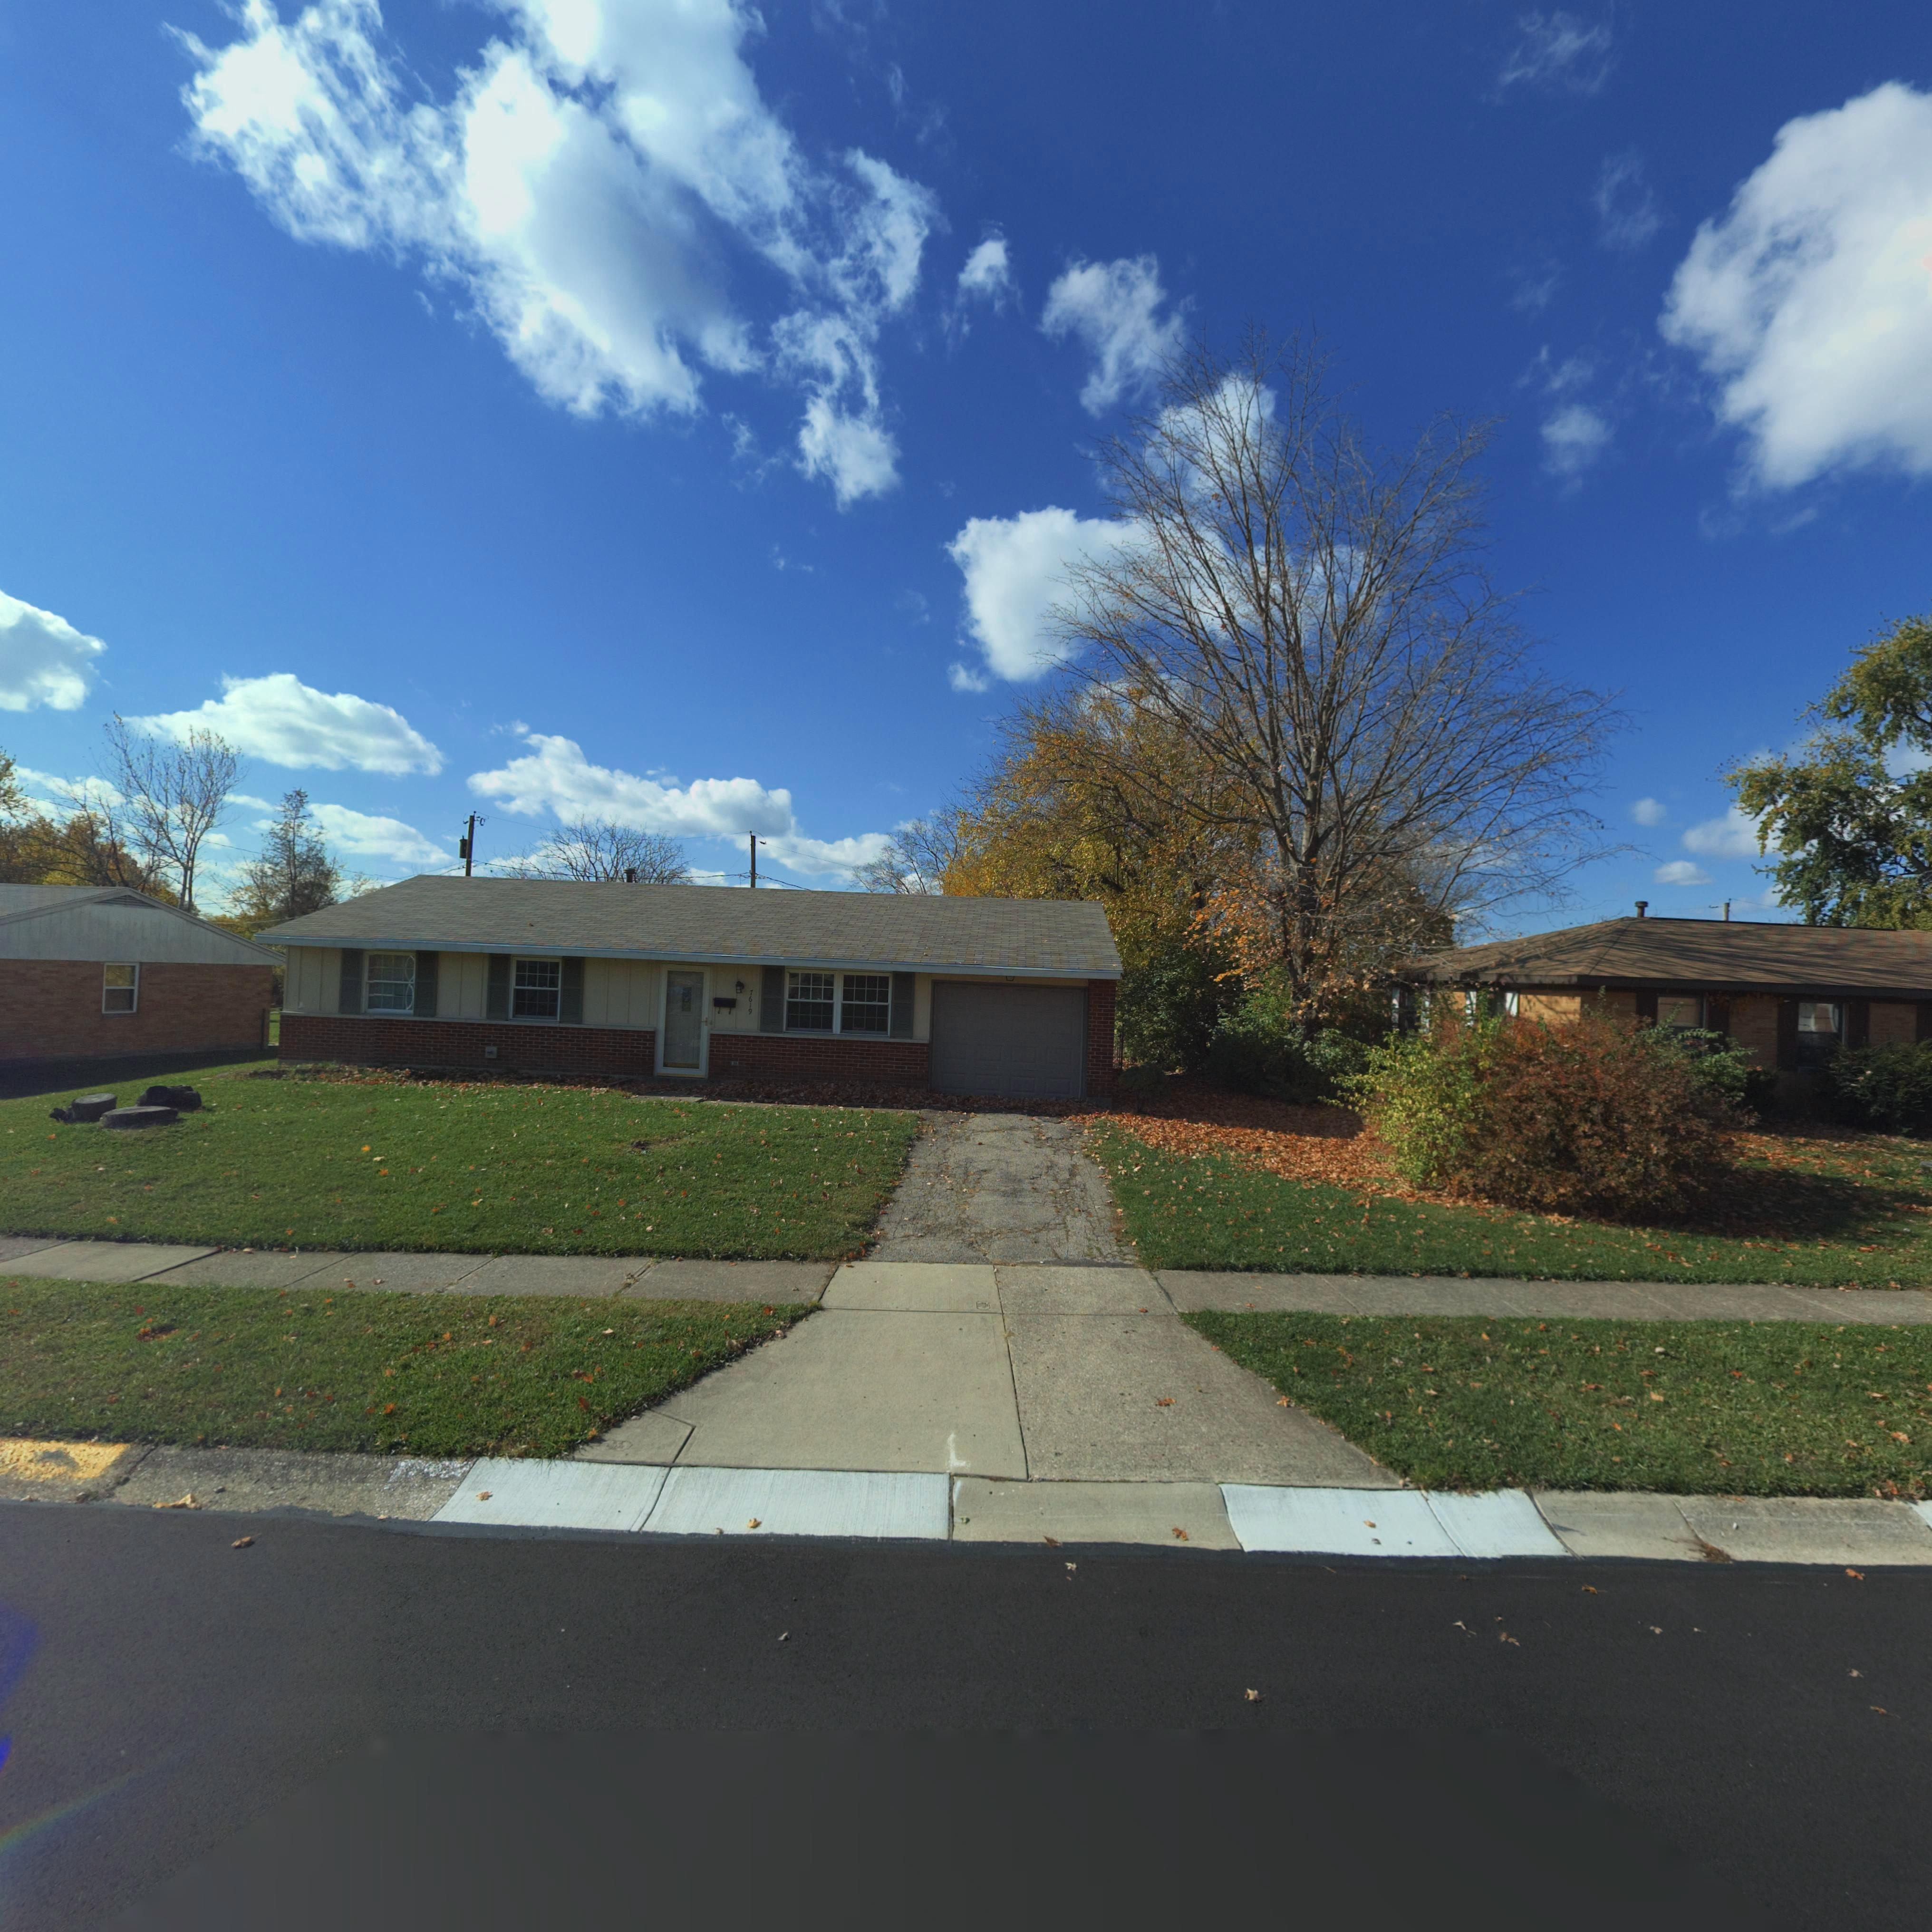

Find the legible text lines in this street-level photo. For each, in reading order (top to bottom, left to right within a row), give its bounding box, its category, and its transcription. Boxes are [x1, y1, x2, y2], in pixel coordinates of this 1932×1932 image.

[747, 989, 753, 1015] StreetNumber: 7619